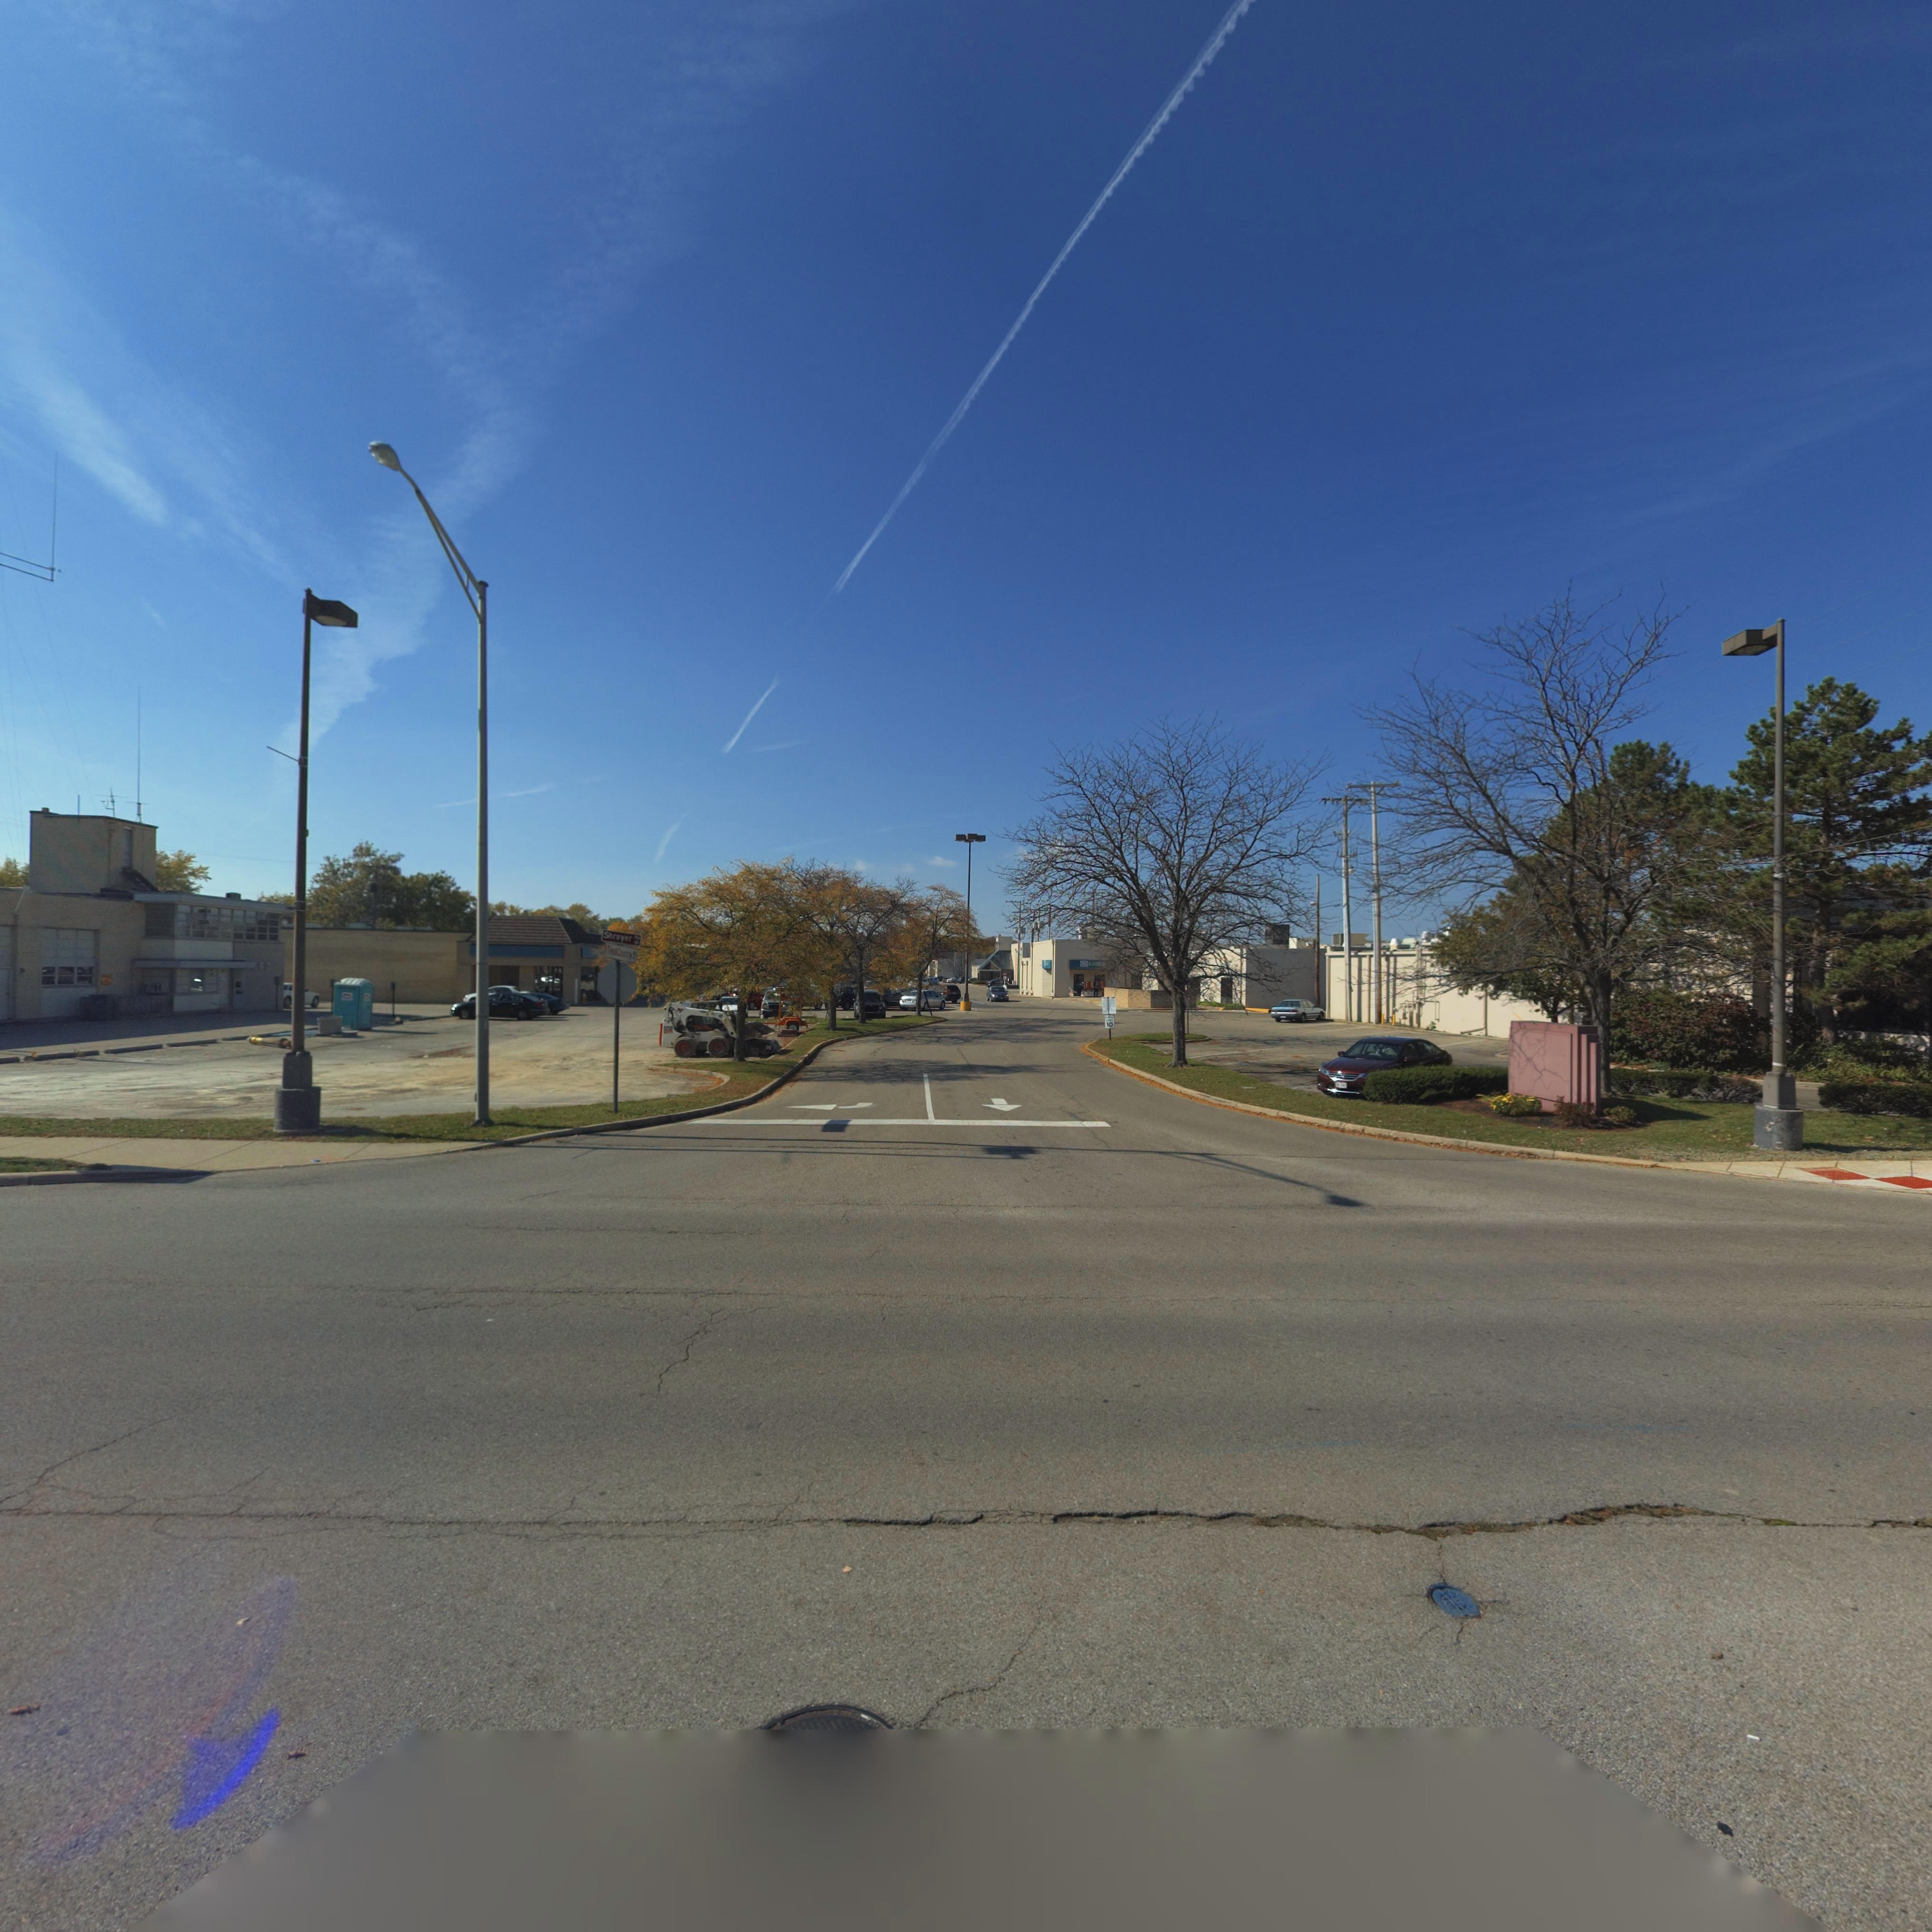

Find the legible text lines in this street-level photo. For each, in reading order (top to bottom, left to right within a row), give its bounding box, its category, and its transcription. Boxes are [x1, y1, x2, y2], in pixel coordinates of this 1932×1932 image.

[602, 930, 633, 943] StreetName: Shroyer 
[606, 944, 634, 961] StreetName: T****Country
[1088, 961, 1101, 966] BusinessName: * CHAR
[1085, 981, 1105, 989] None: FR*E
[1106, 1022, 1114, 1027] None: 10
[663, 1026, 673, 1031] None: S250